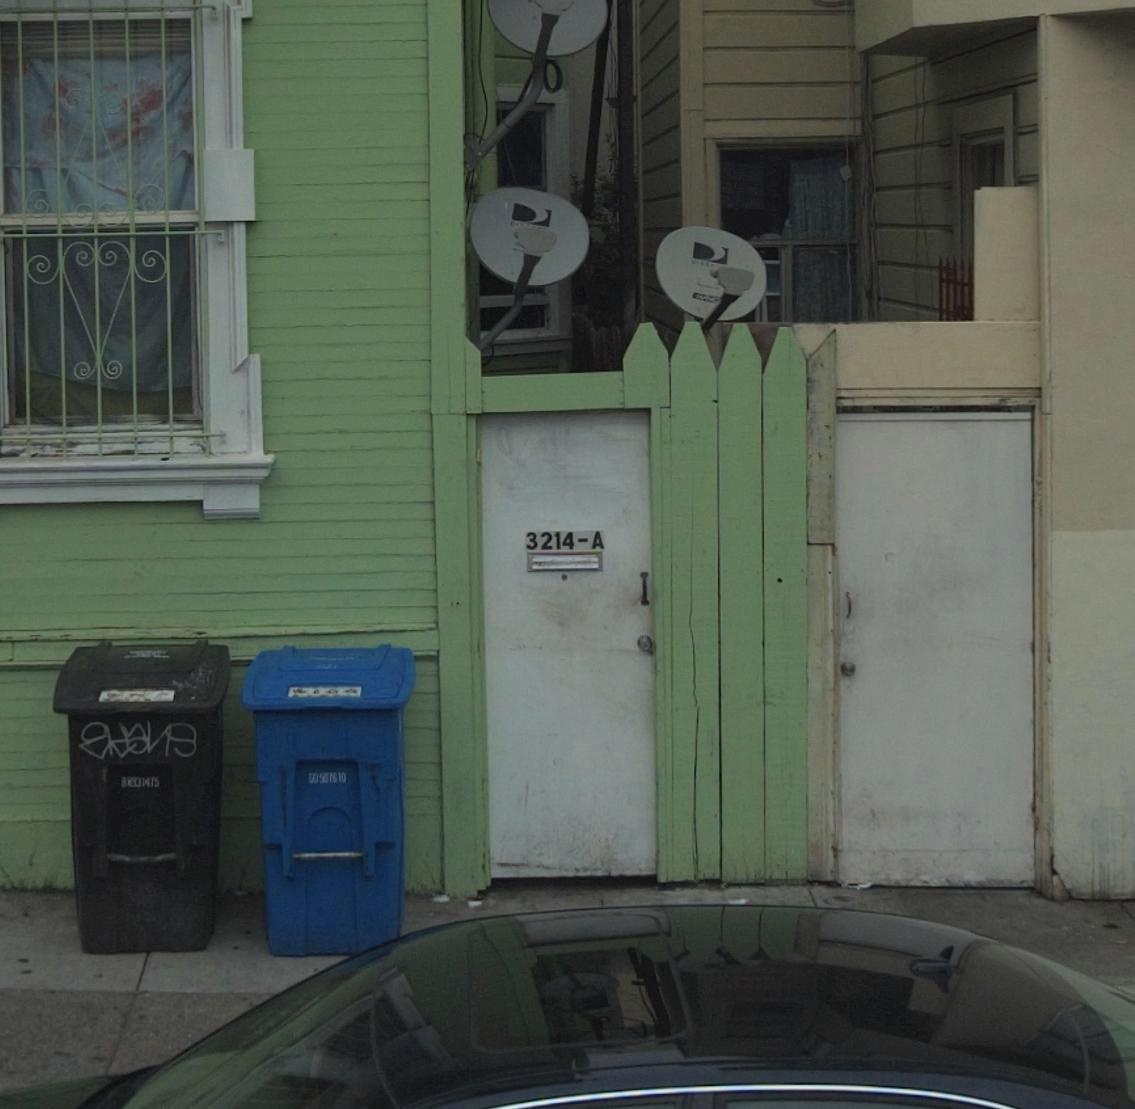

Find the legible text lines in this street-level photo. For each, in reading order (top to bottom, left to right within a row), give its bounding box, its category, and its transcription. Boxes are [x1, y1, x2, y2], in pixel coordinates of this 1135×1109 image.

[525, 530, 605, 552] StreetNumber: 3214-A